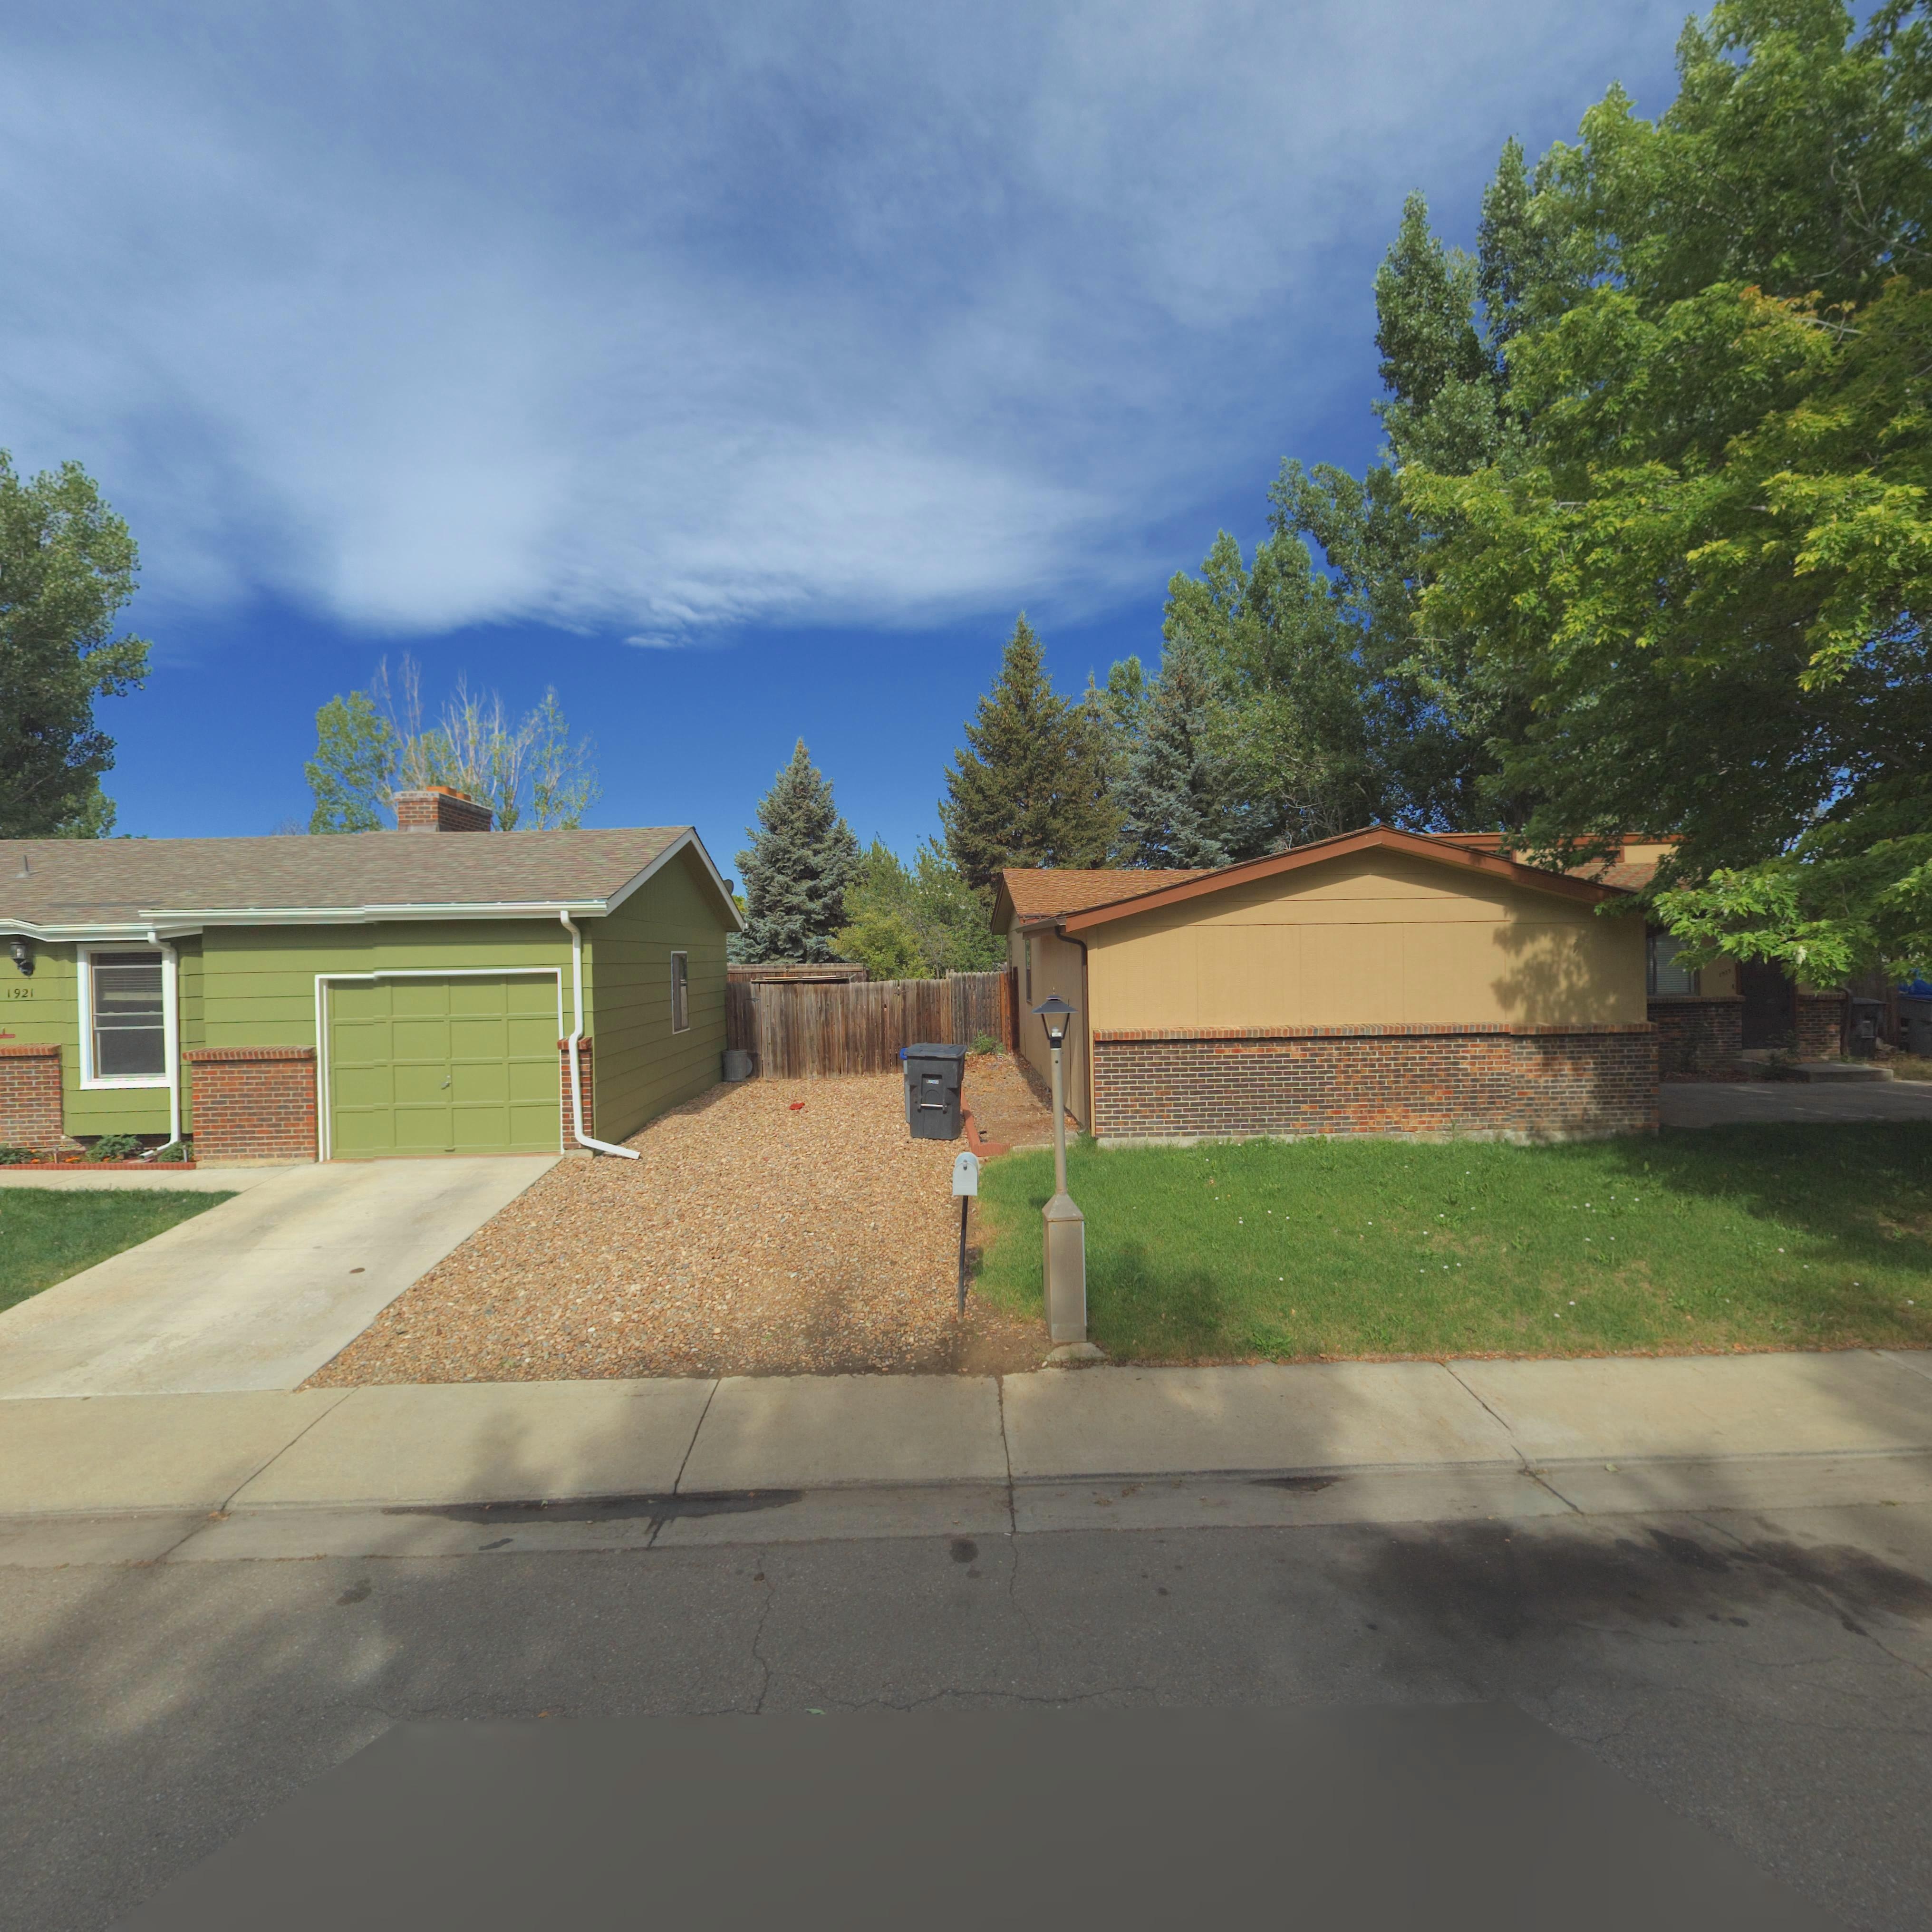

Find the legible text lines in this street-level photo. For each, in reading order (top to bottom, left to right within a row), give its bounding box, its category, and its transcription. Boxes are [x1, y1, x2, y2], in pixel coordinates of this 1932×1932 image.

[1718, 967, 1731, 978] StreetNumber: 1927
[7, 987, 33, 999] StreetNumber: 1921